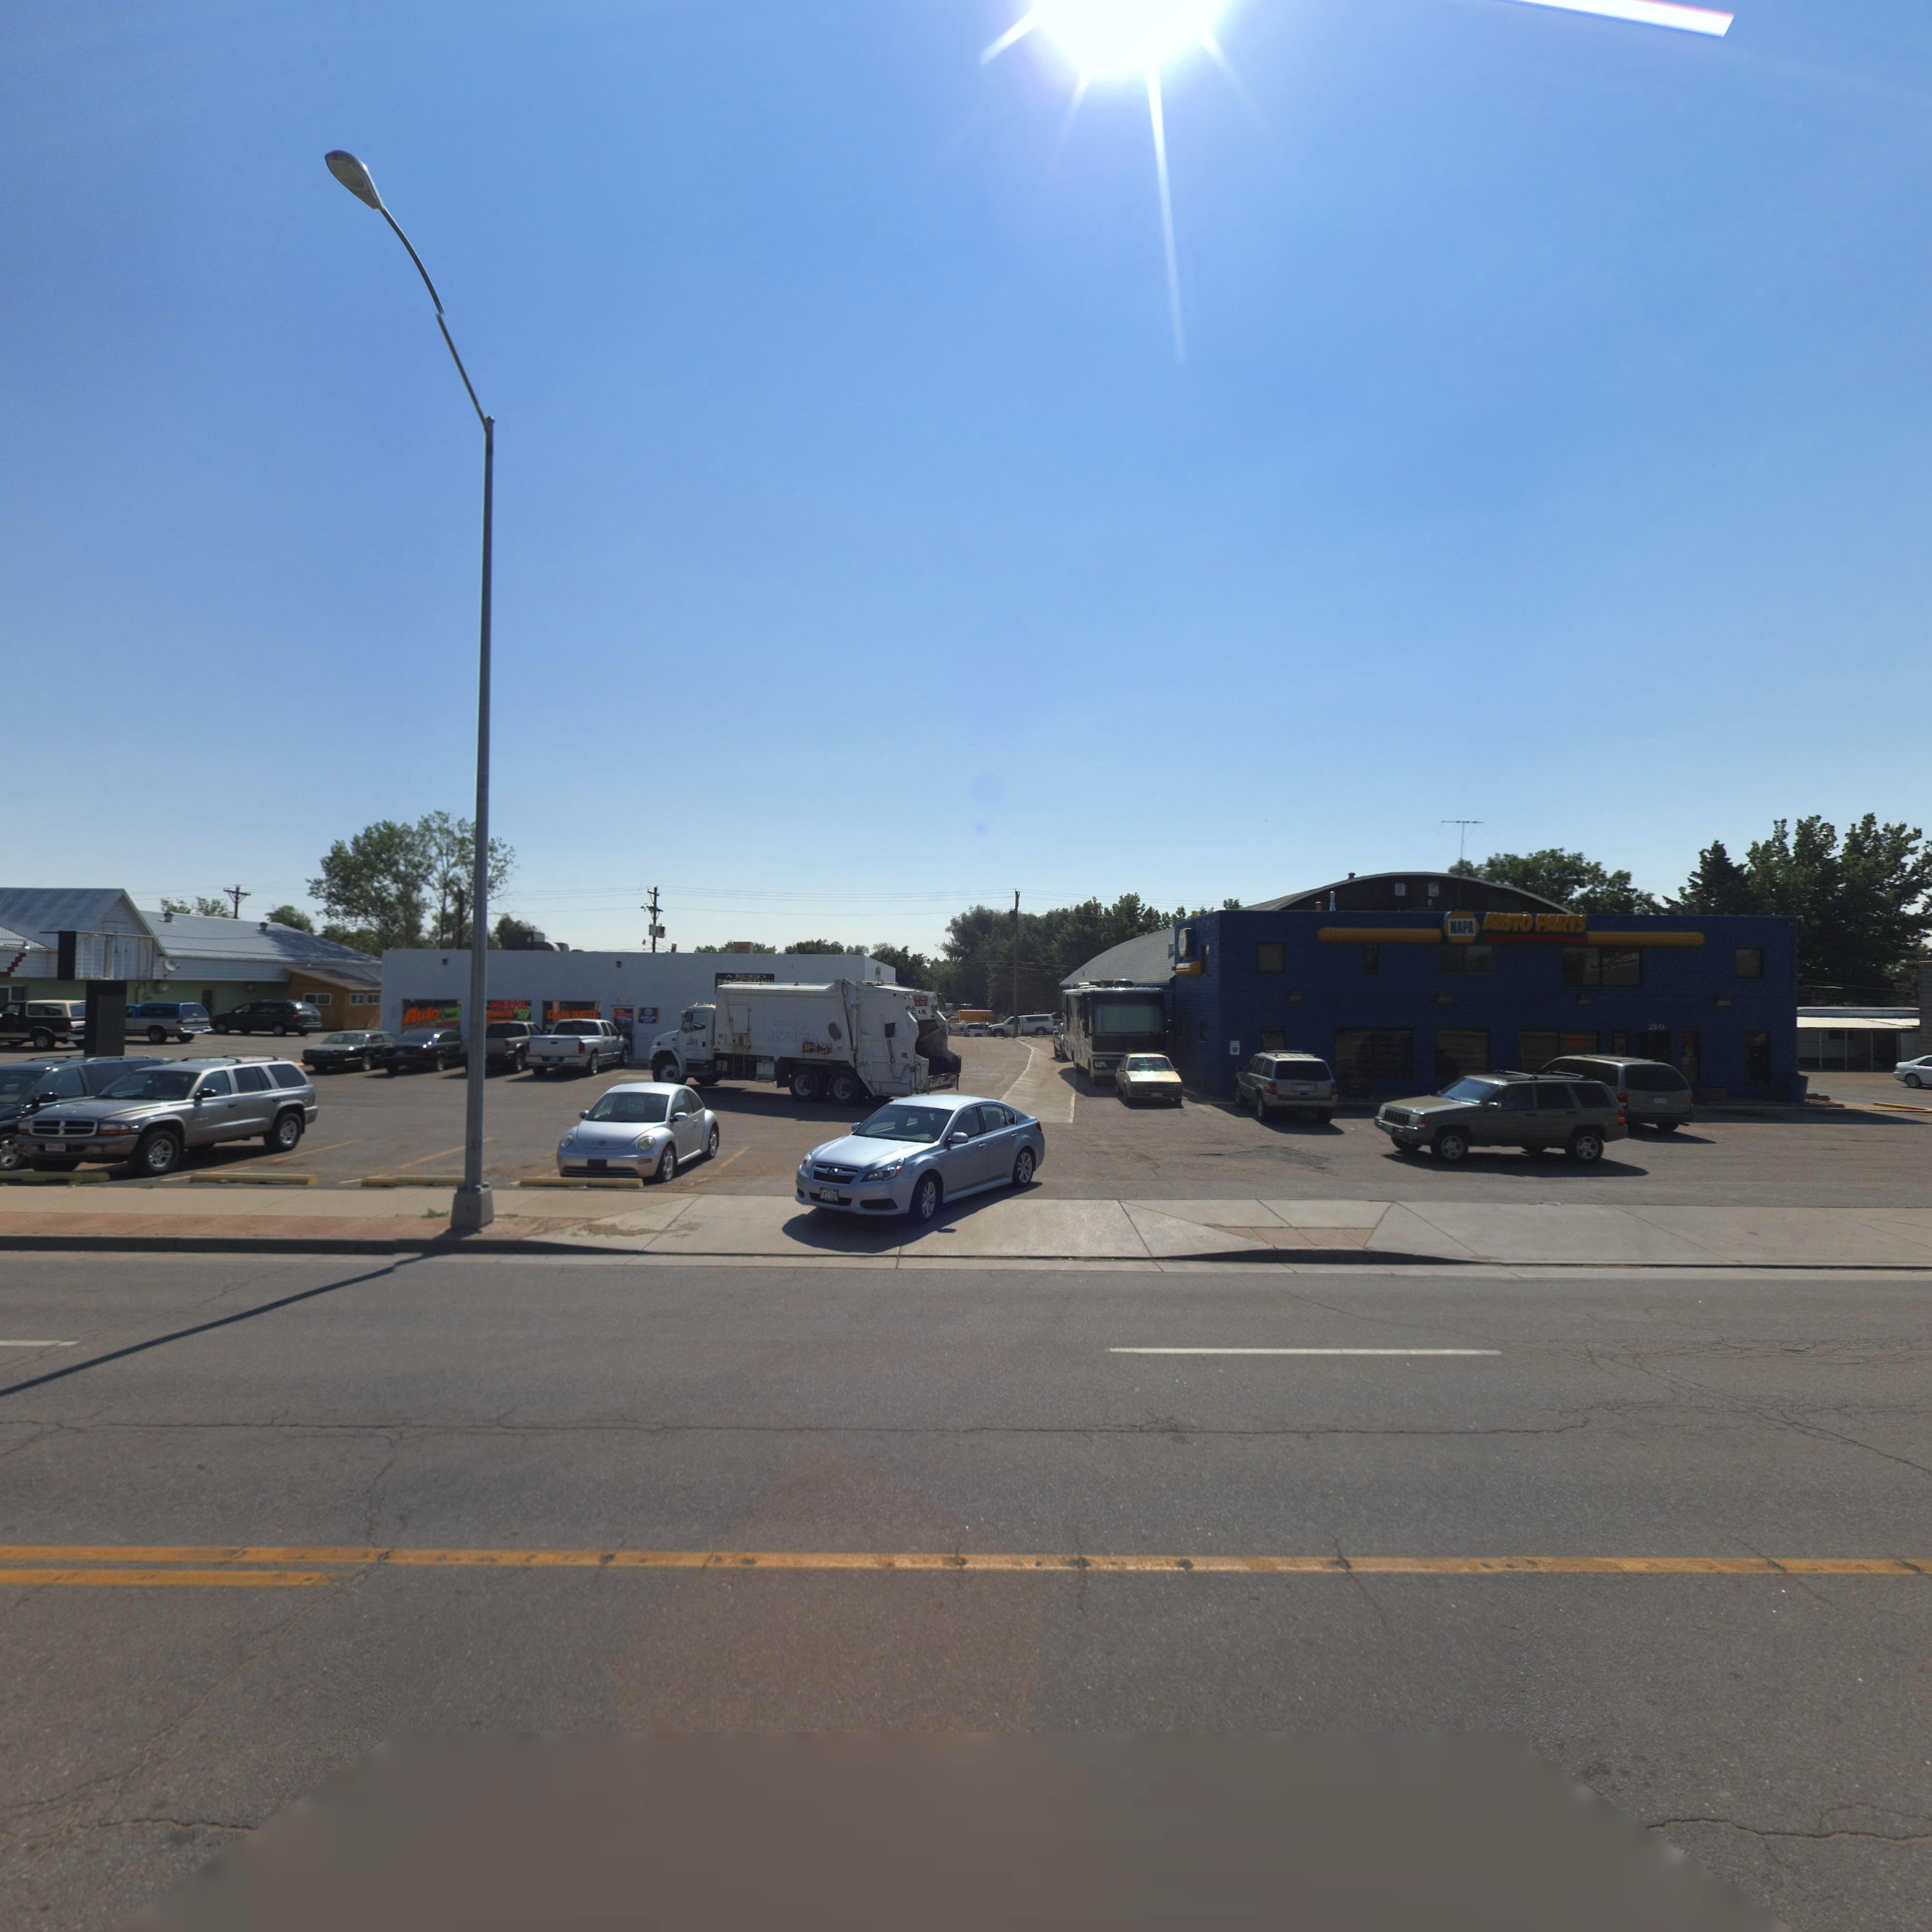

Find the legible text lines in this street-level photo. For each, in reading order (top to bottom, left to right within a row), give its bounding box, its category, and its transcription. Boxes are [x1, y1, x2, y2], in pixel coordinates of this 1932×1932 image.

[1449, 919, 1475, 935] BusinessName: NAPA
[615, 995, 632, 1003] StreetNumber: *0*
[1648, 1023, 1665, 1031] StreetNumber: 210